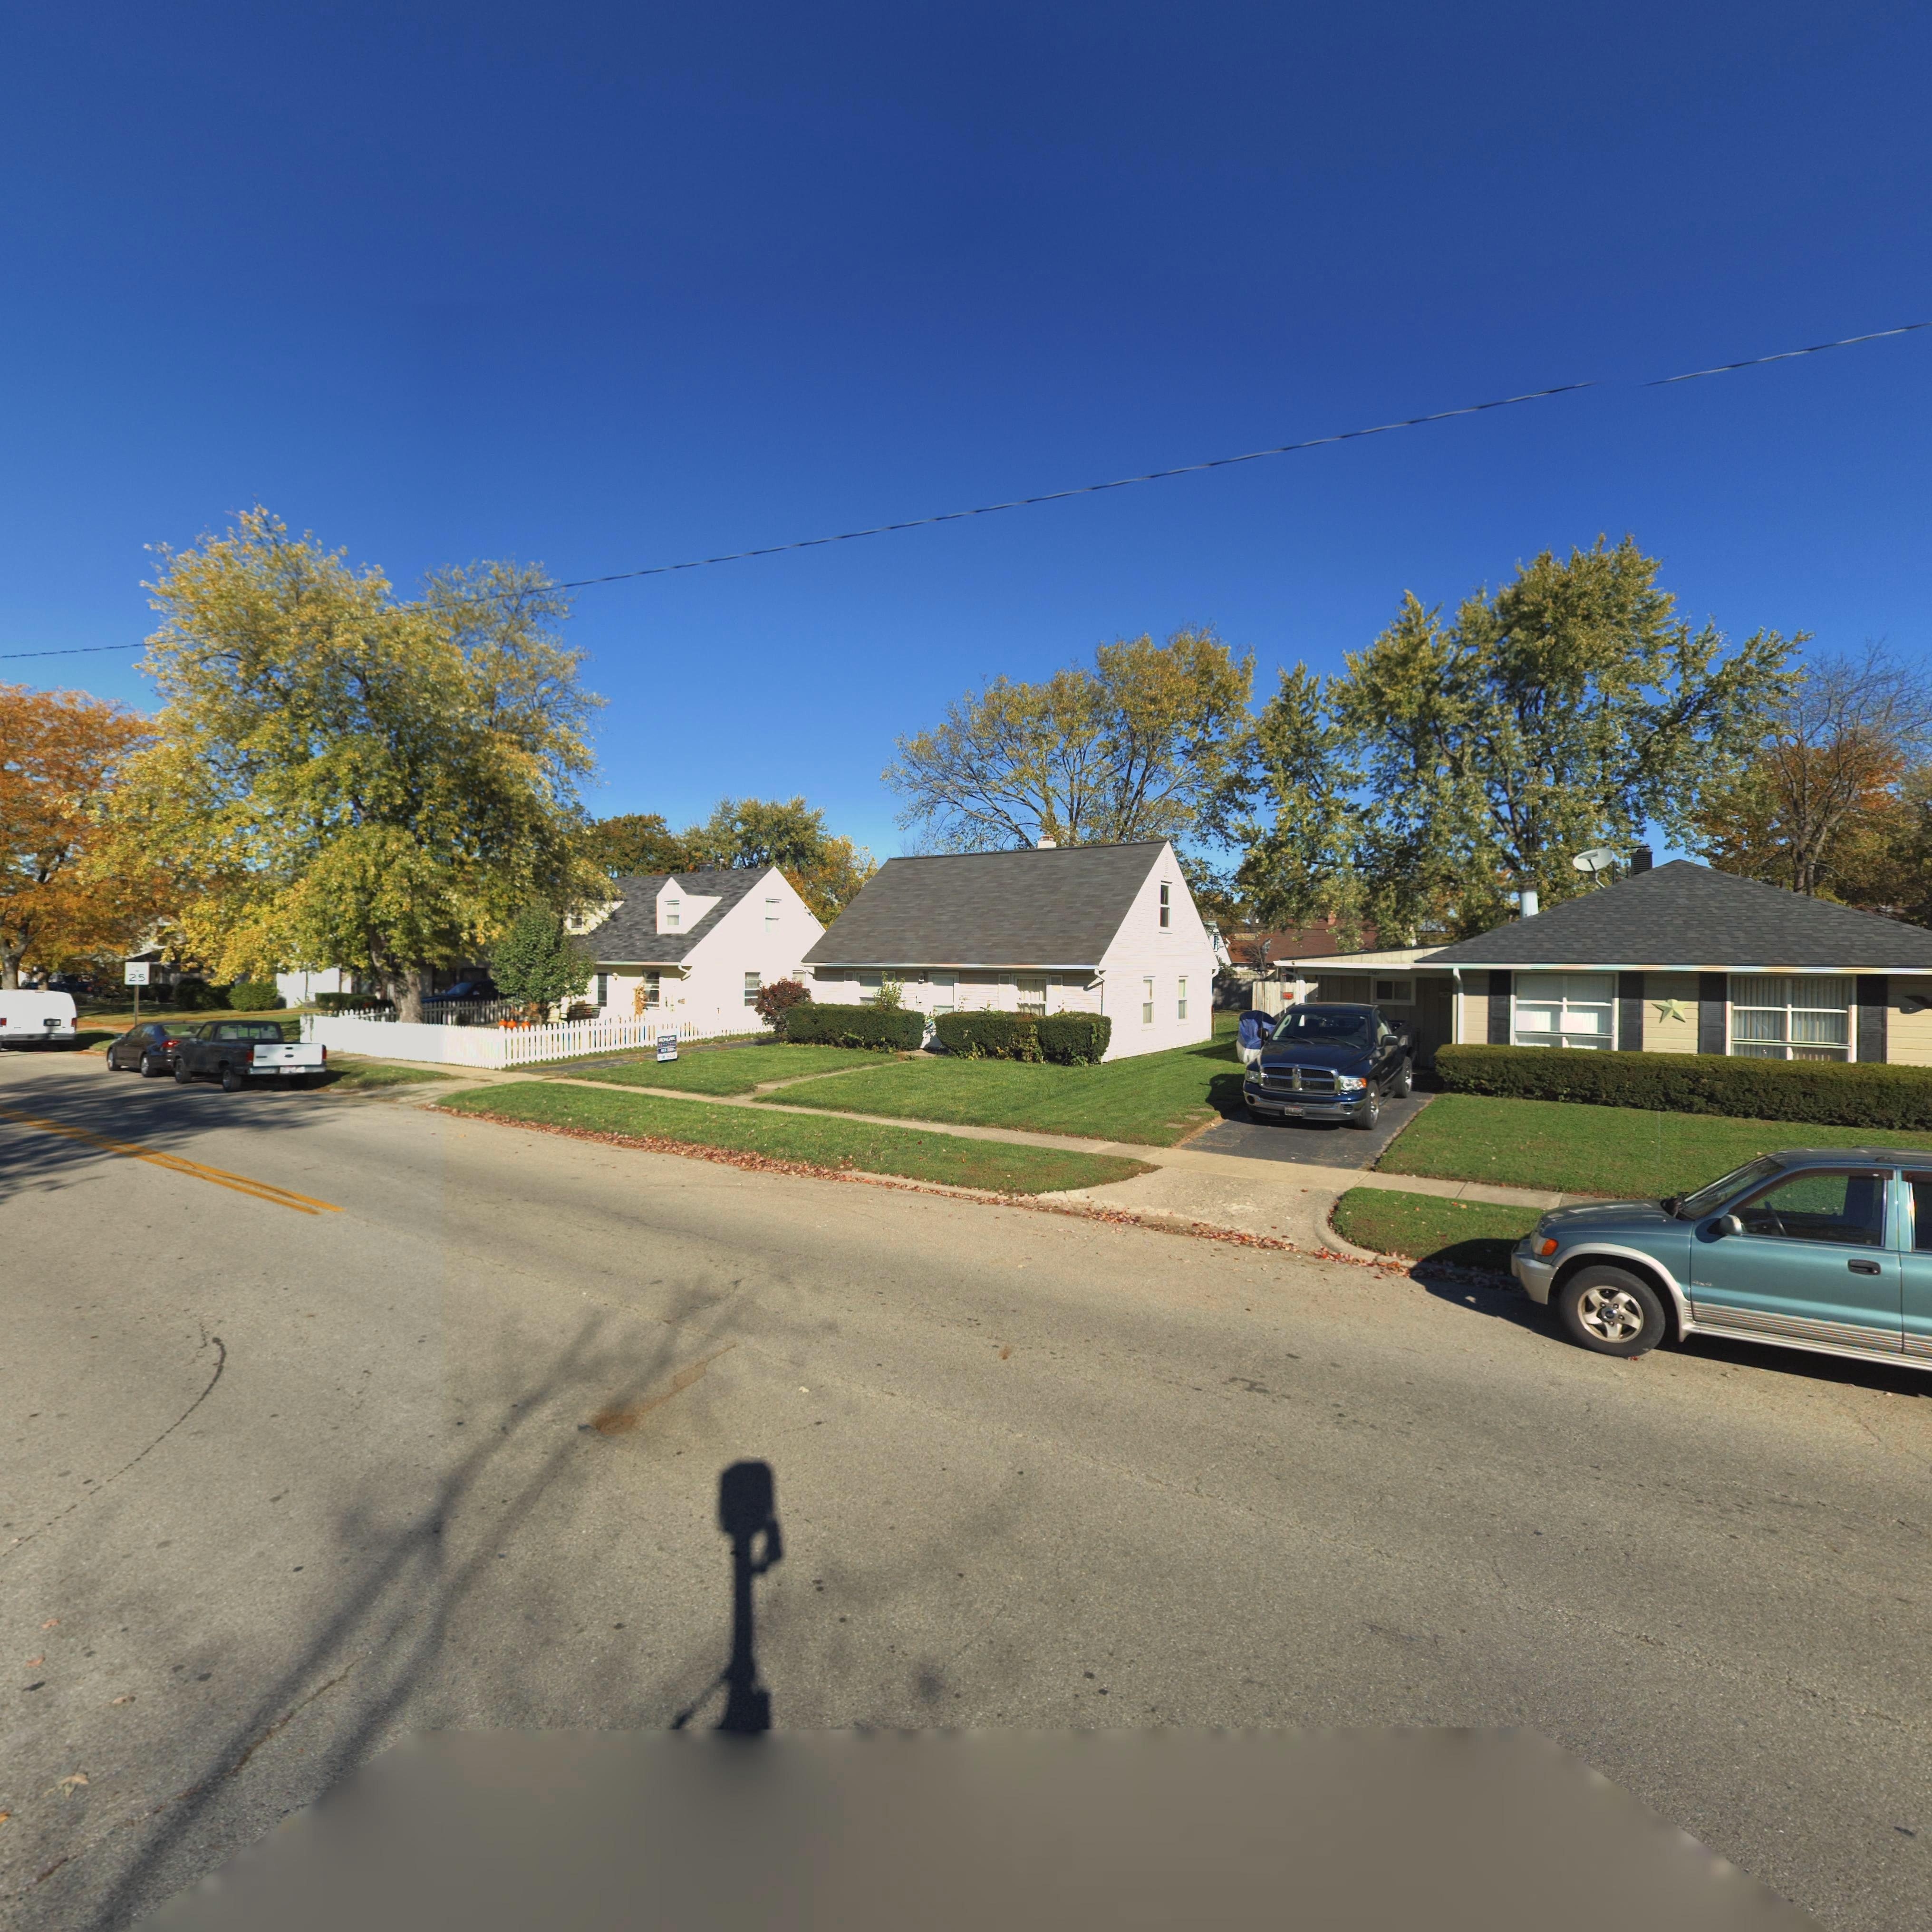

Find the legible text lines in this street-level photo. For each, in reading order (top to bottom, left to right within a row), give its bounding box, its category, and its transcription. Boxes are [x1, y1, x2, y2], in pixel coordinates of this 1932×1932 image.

[1366, 970, 1381, 976] StreetNumber: 25**